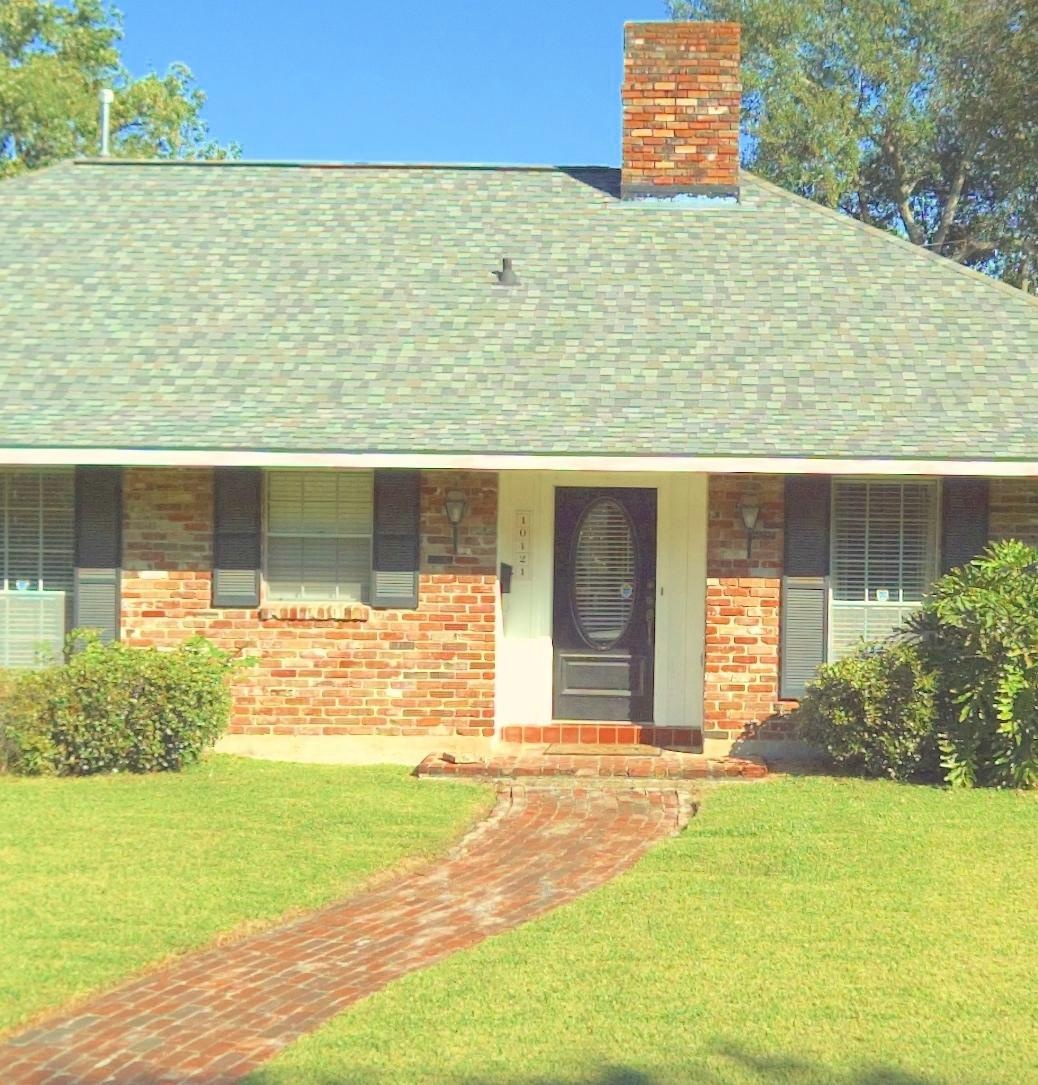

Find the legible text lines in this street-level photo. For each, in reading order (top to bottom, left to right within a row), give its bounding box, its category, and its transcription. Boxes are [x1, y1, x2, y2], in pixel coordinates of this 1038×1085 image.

[516, 514, 529, 578] StreetNumber: 10121